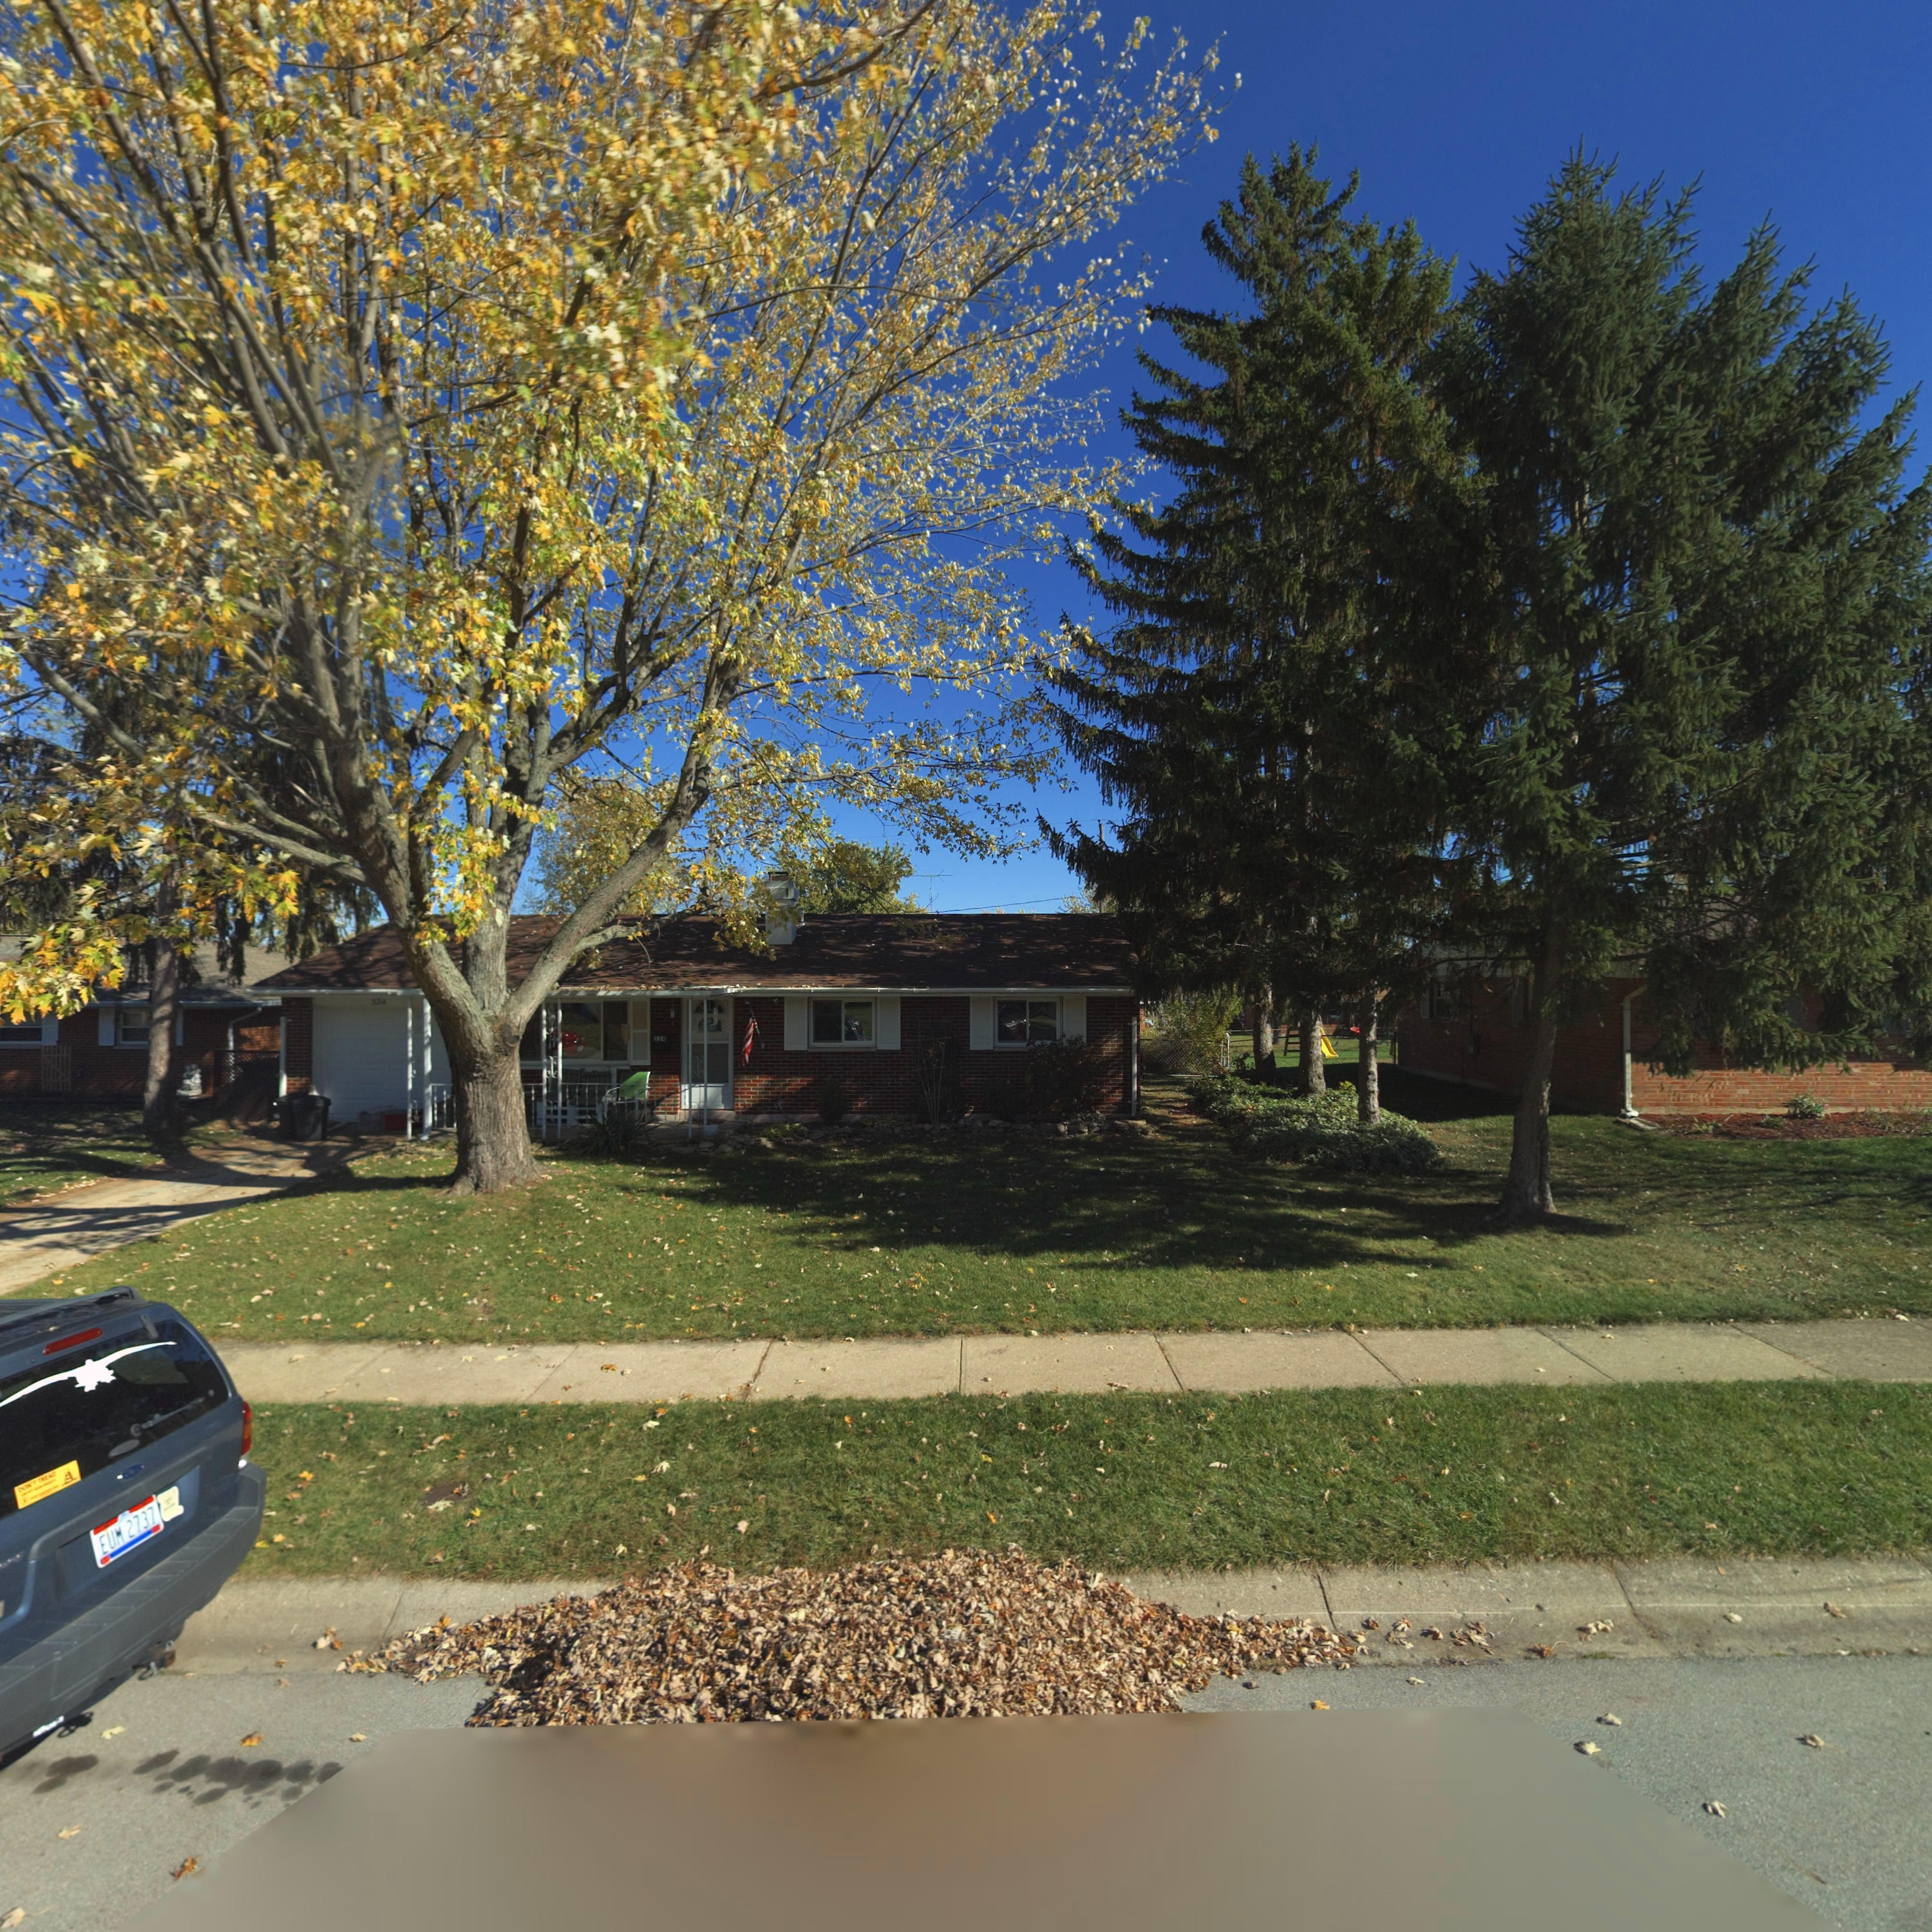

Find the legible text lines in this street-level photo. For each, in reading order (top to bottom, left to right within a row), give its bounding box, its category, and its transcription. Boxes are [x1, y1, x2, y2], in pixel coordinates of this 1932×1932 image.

[654, 1035, 666, 1042] StreetNumber: *24